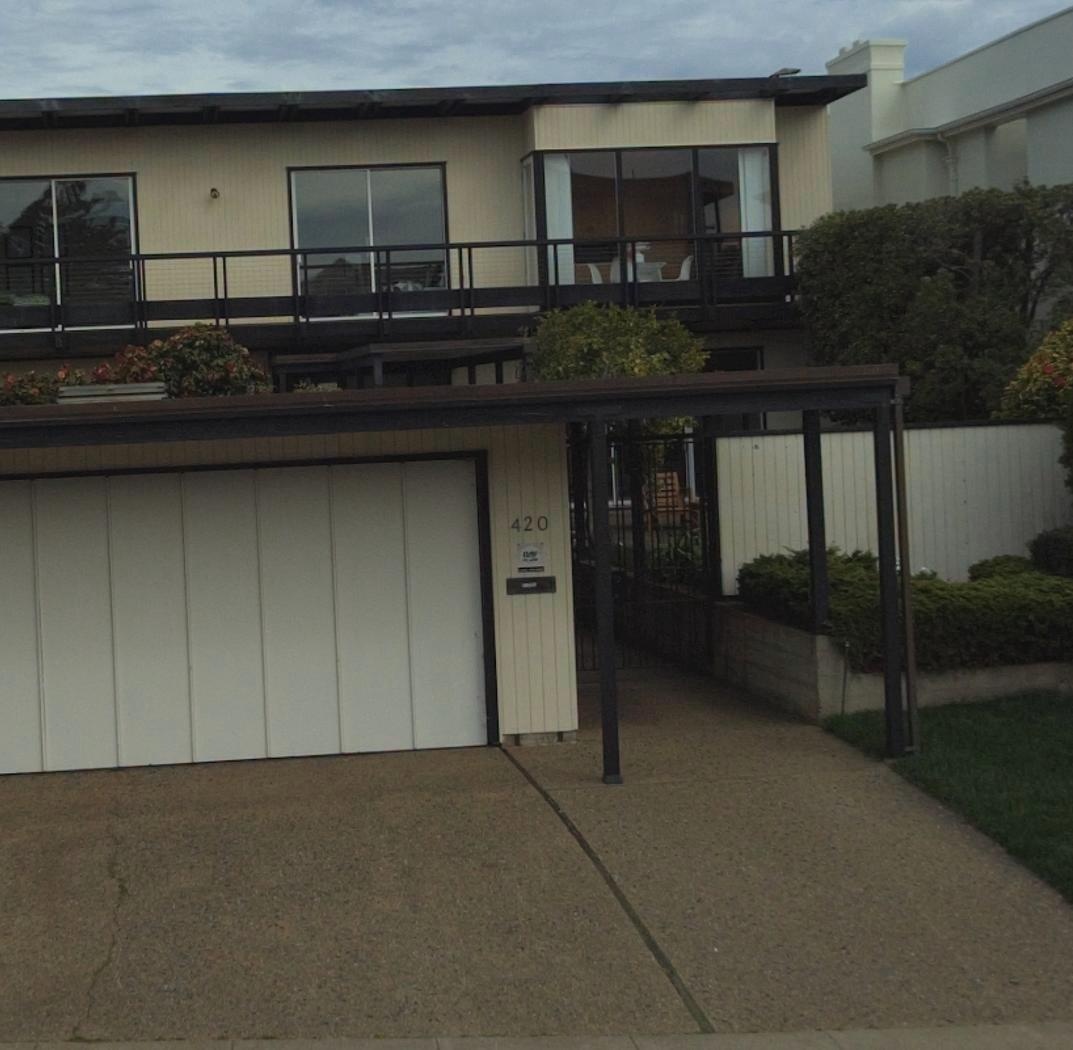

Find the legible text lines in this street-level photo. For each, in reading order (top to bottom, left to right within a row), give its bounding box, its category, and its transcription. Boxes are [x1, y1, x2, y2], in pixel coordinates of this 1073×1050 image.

[510, 514, 548, 534] StreetNumber: 420